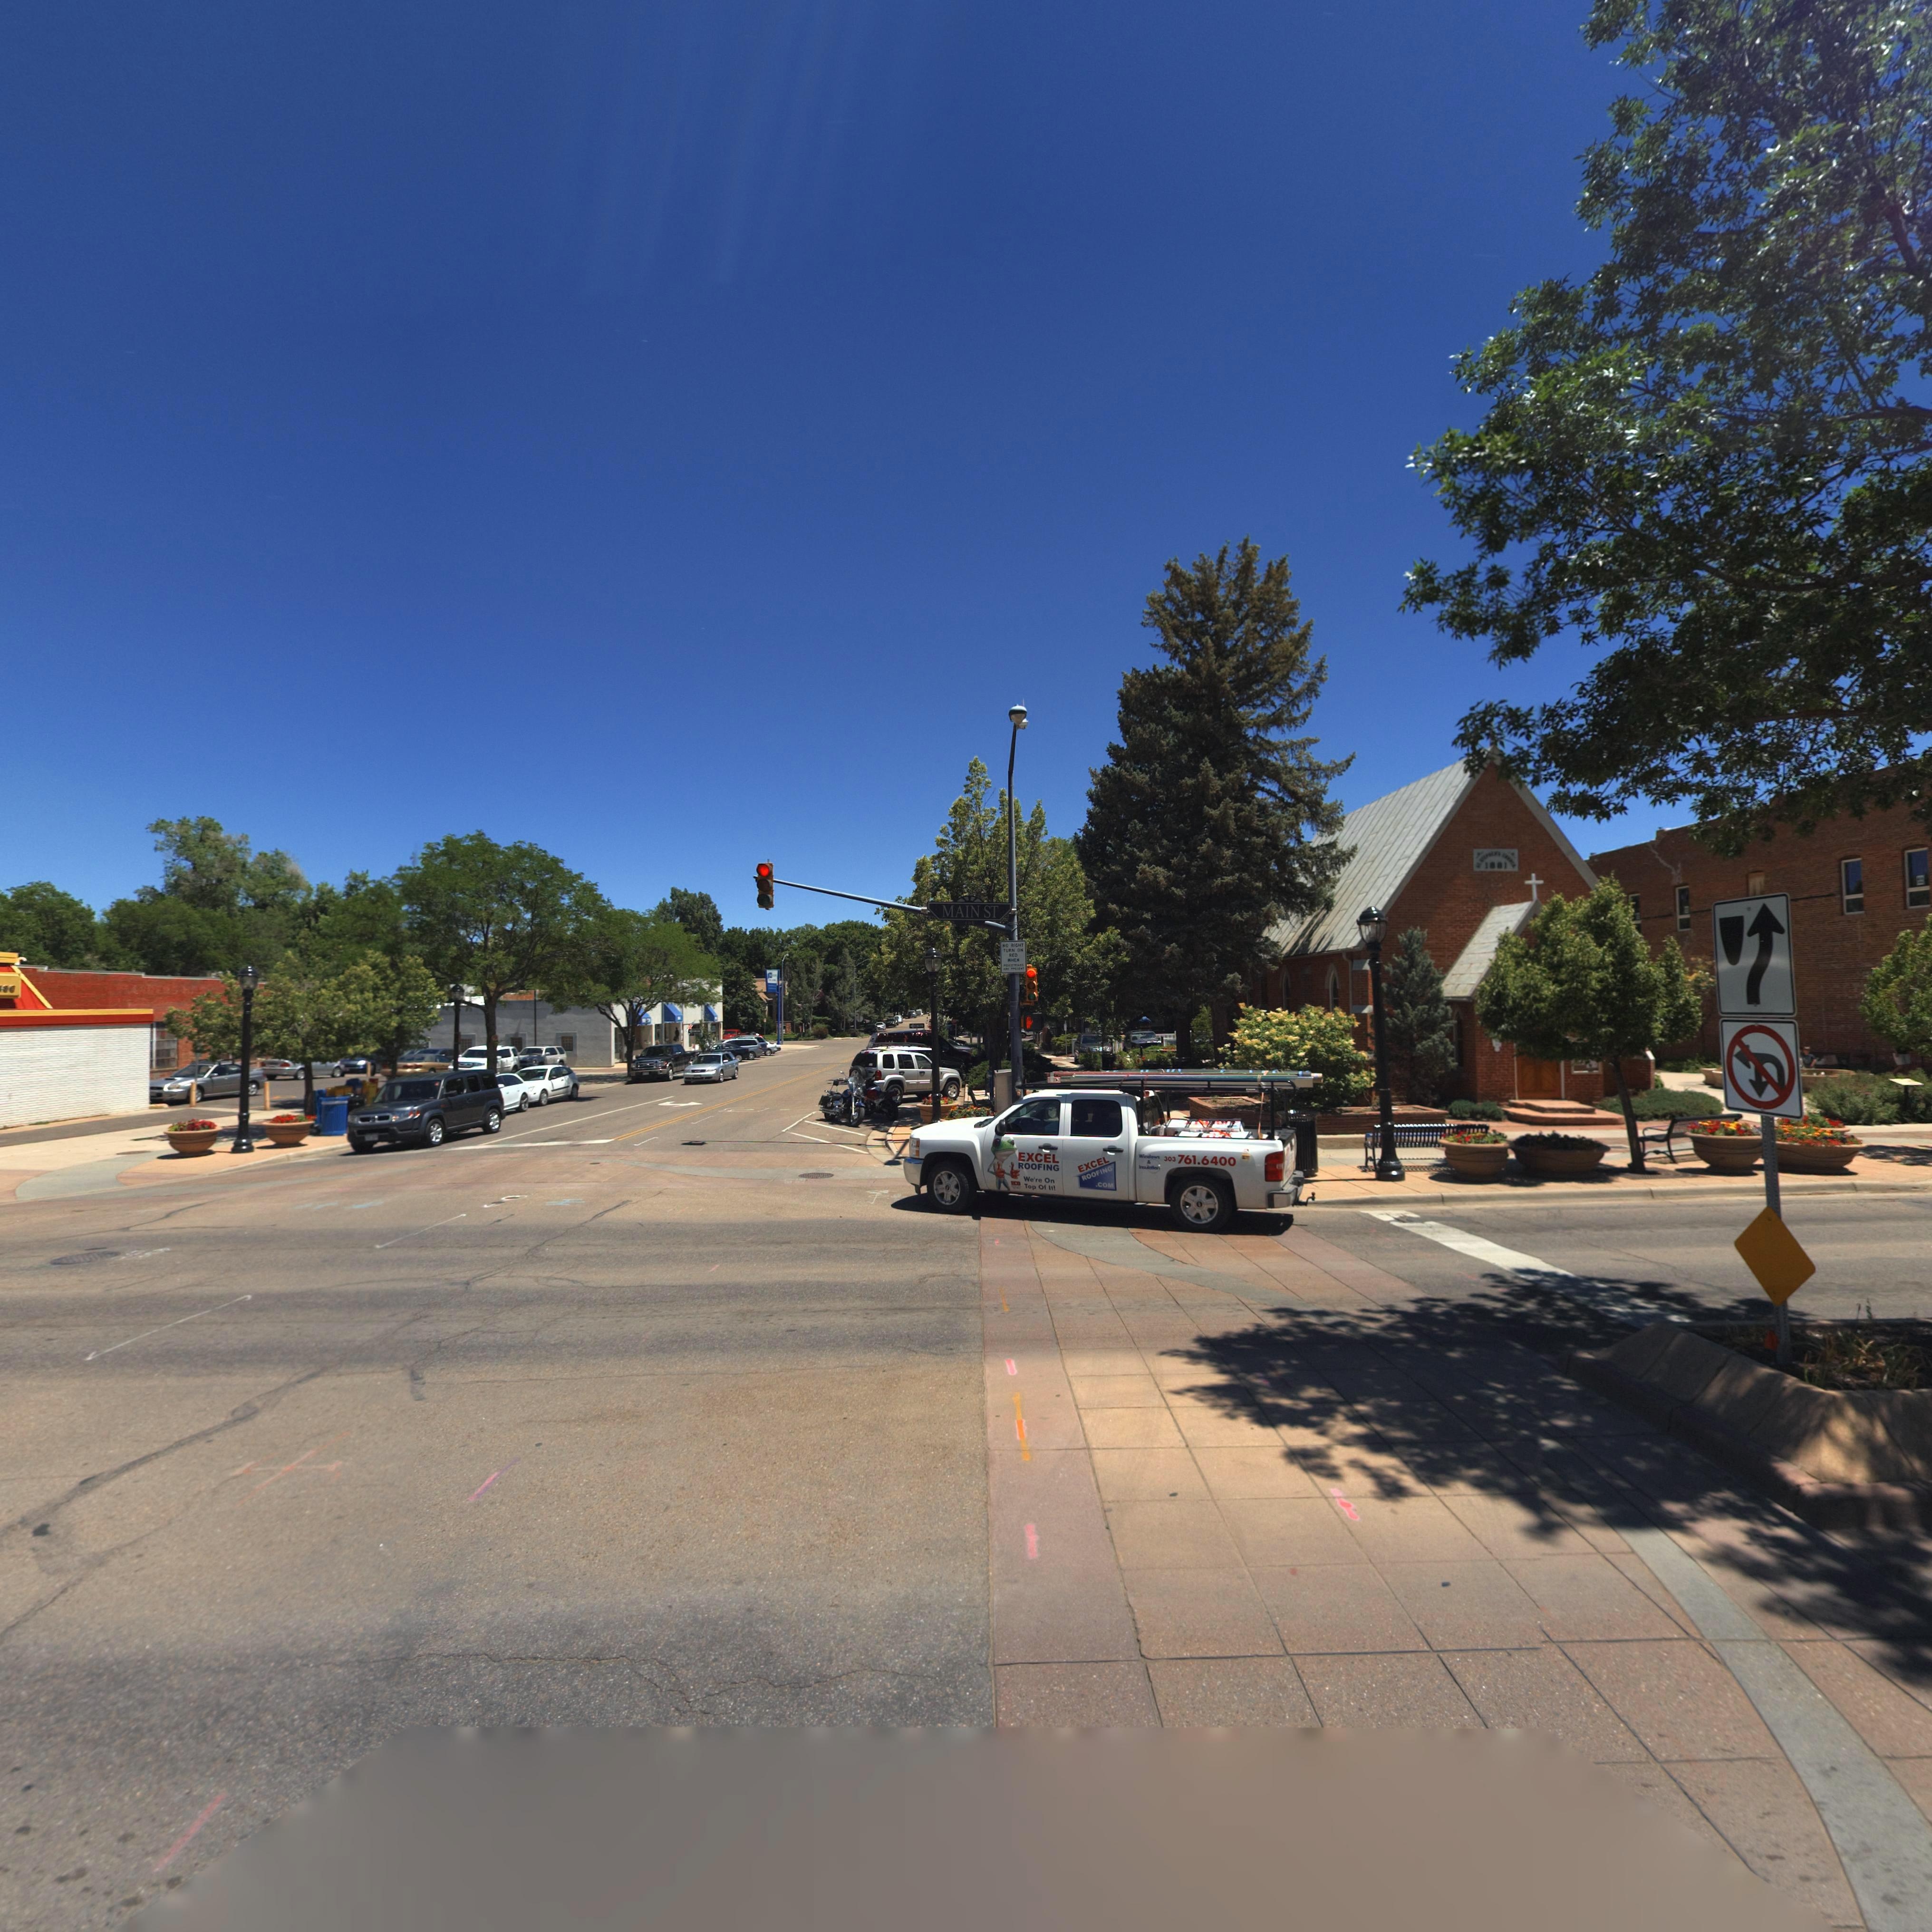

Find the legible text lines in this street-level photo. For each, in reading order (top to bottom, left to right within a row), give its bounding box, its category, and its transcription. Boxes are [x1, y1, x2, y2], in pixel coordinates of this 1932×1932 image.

[941, 904, 999, 918] StreetName: MAIN ST
[964, 920, 975, 925] StreetNumberRange: 500
[1, 984, 16, 994] BusinessName: se